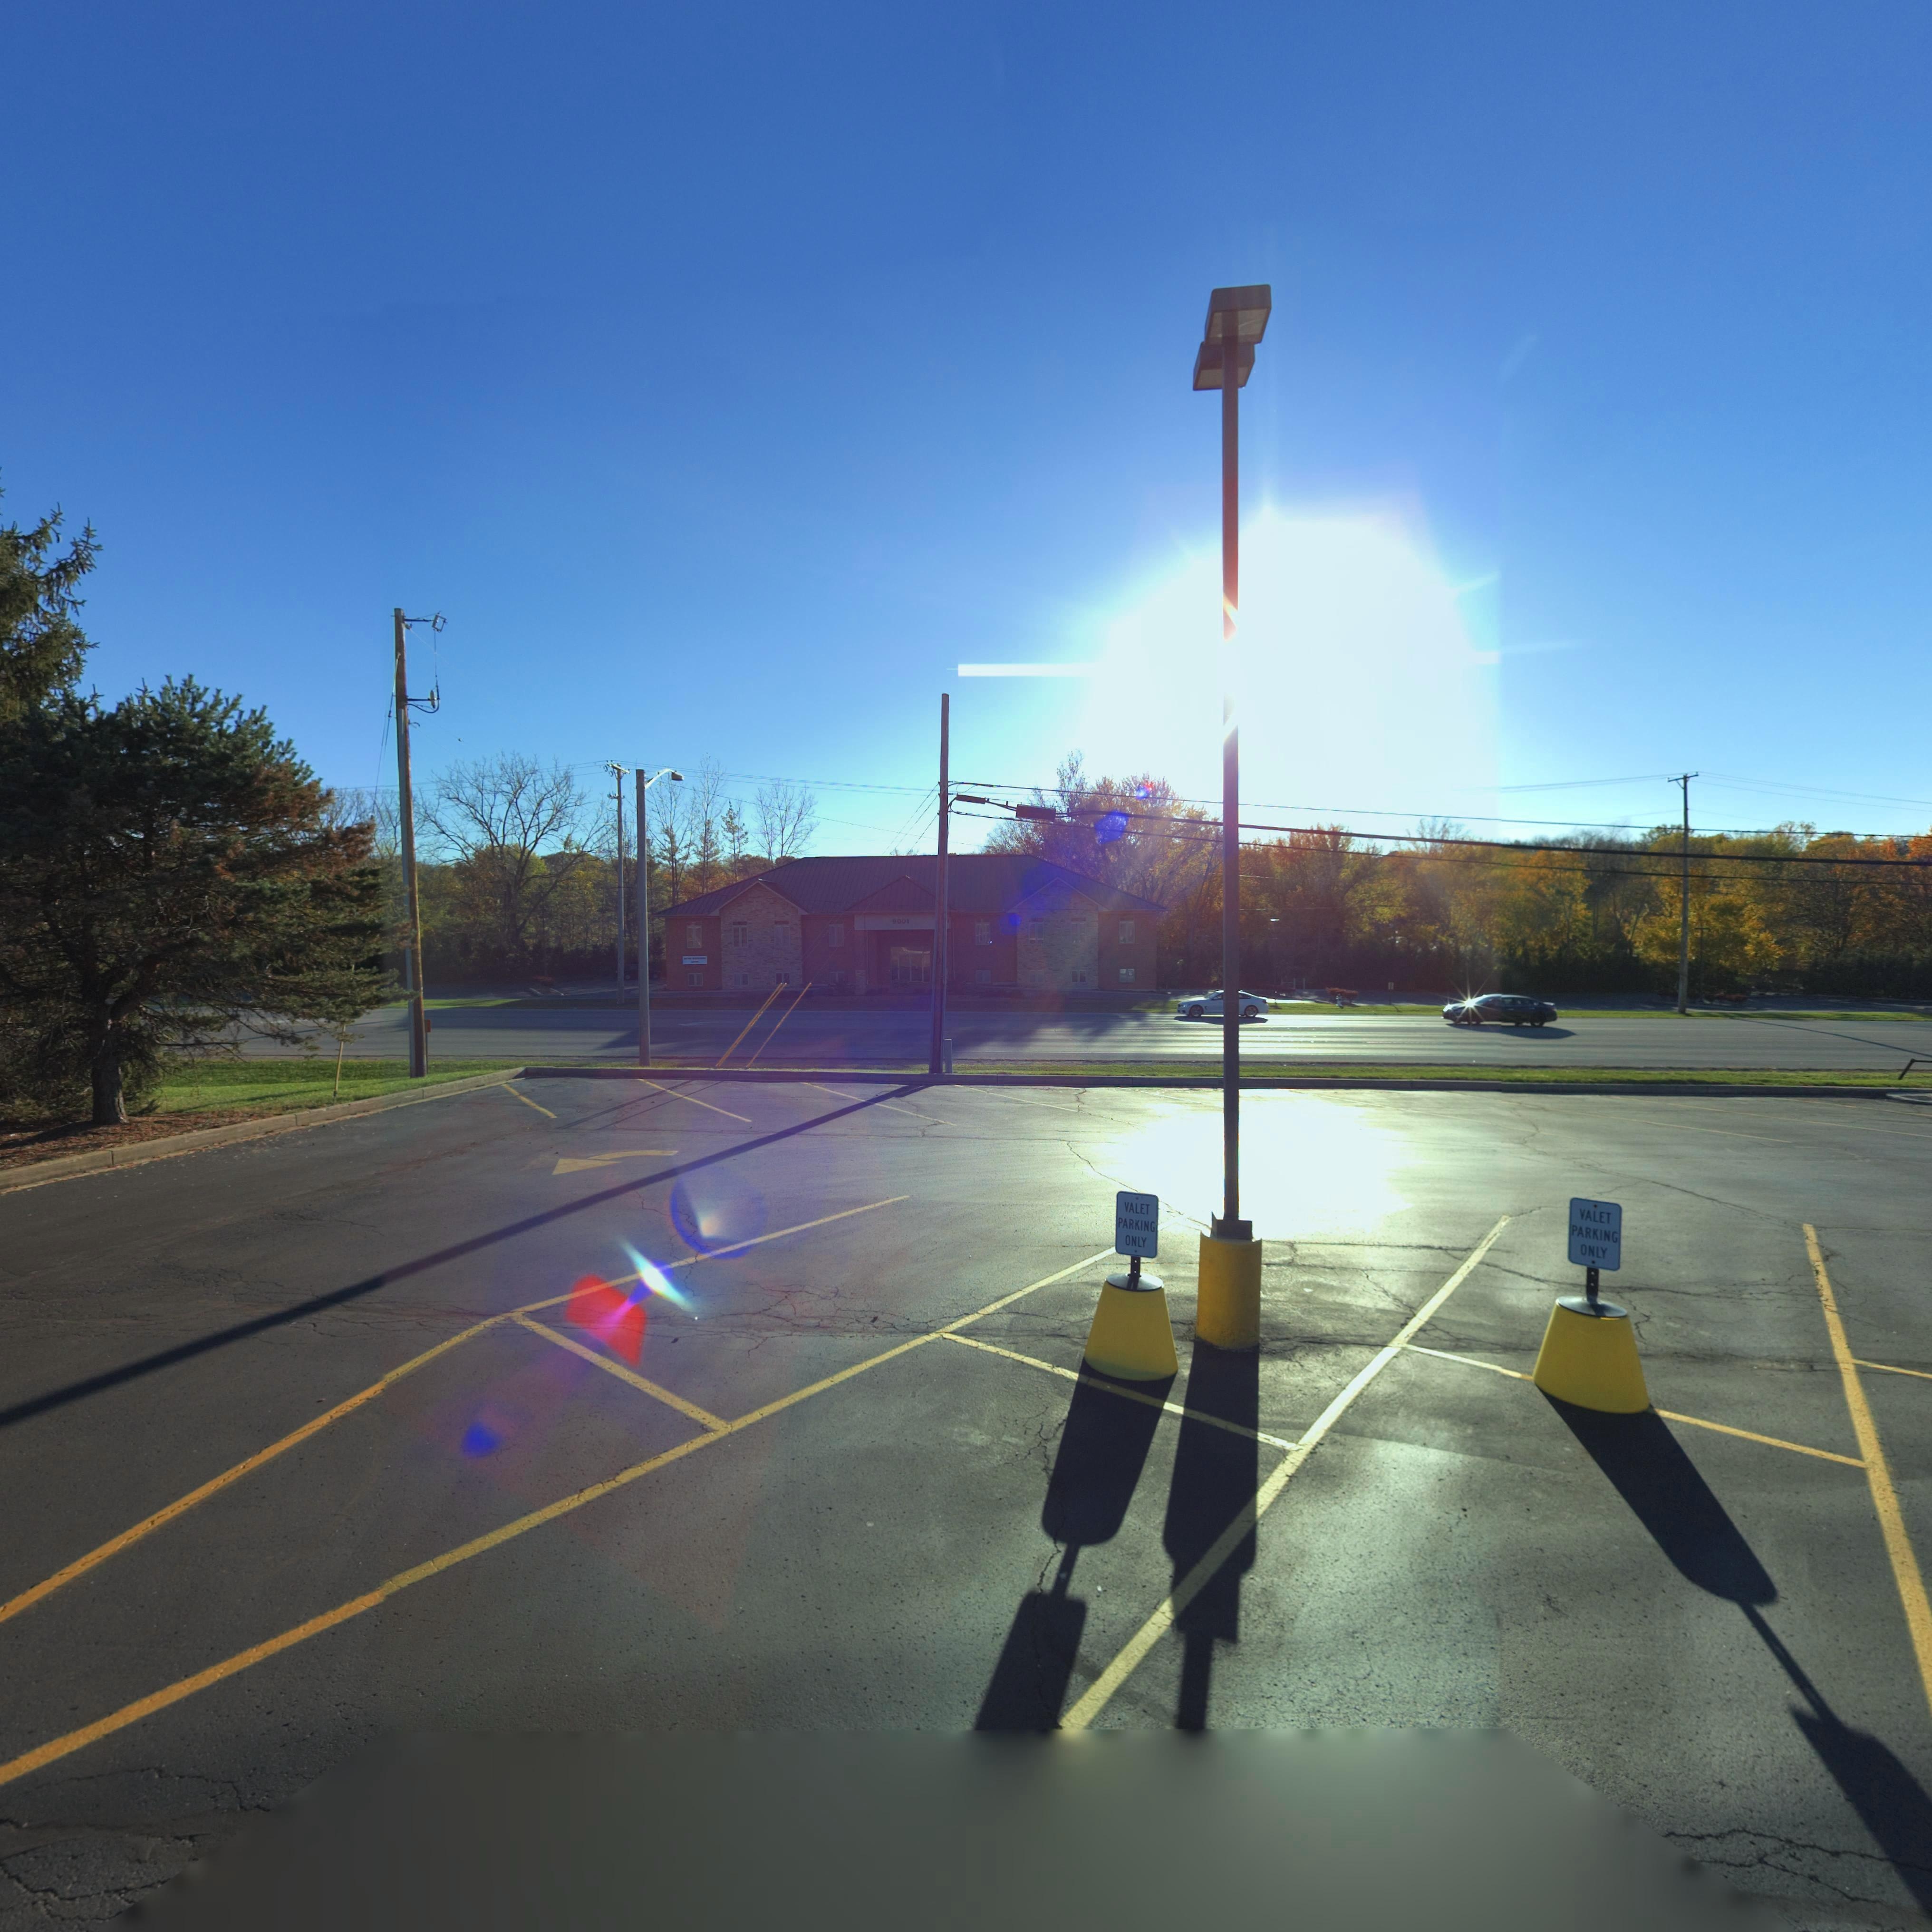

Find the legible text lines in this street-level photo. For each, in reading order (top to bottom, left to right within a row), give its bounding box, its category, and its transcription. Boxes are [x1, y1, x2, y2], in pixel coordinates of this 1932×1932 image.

[892, 918, 909, 924] StreetNumber: 9001